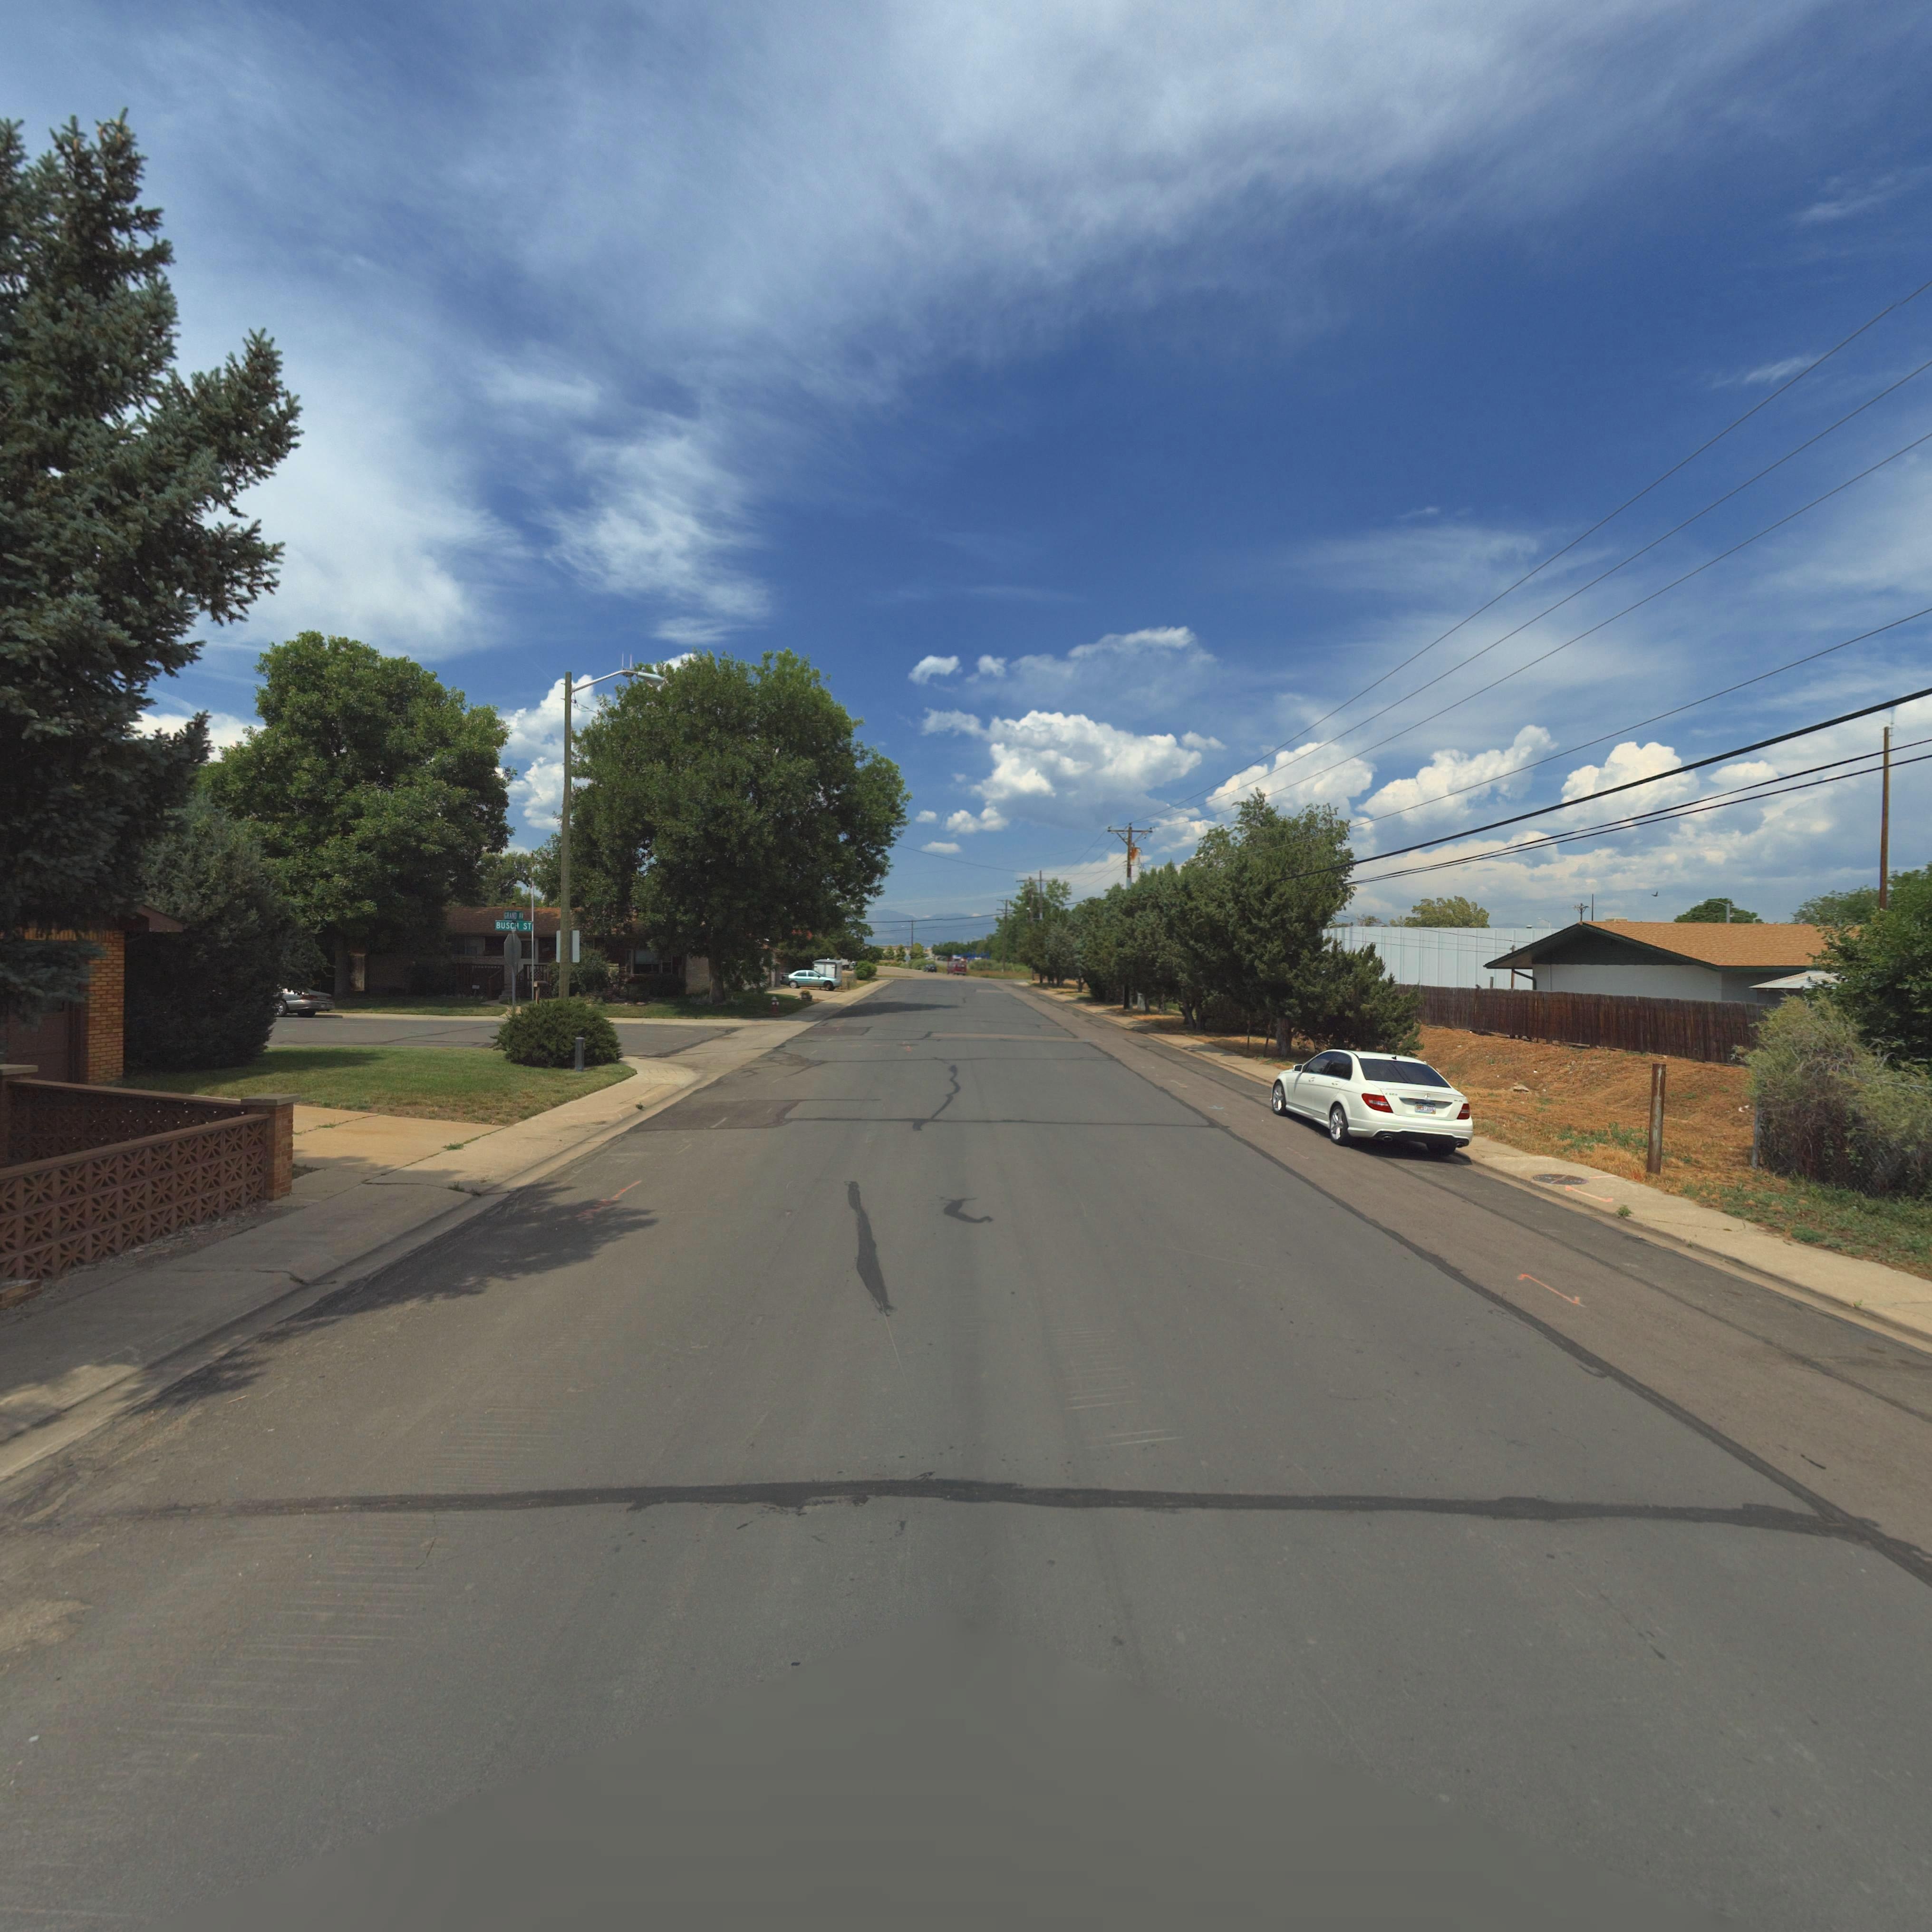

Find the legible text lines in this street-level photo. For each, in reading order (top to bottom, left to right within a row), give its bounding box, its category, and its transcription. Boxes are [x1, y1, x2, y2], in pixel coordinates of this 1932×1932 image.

[503, 911, 523, 920] StreetName: GRAND AV
[494, 921, 532, 930] StreetName: BUSCH ST